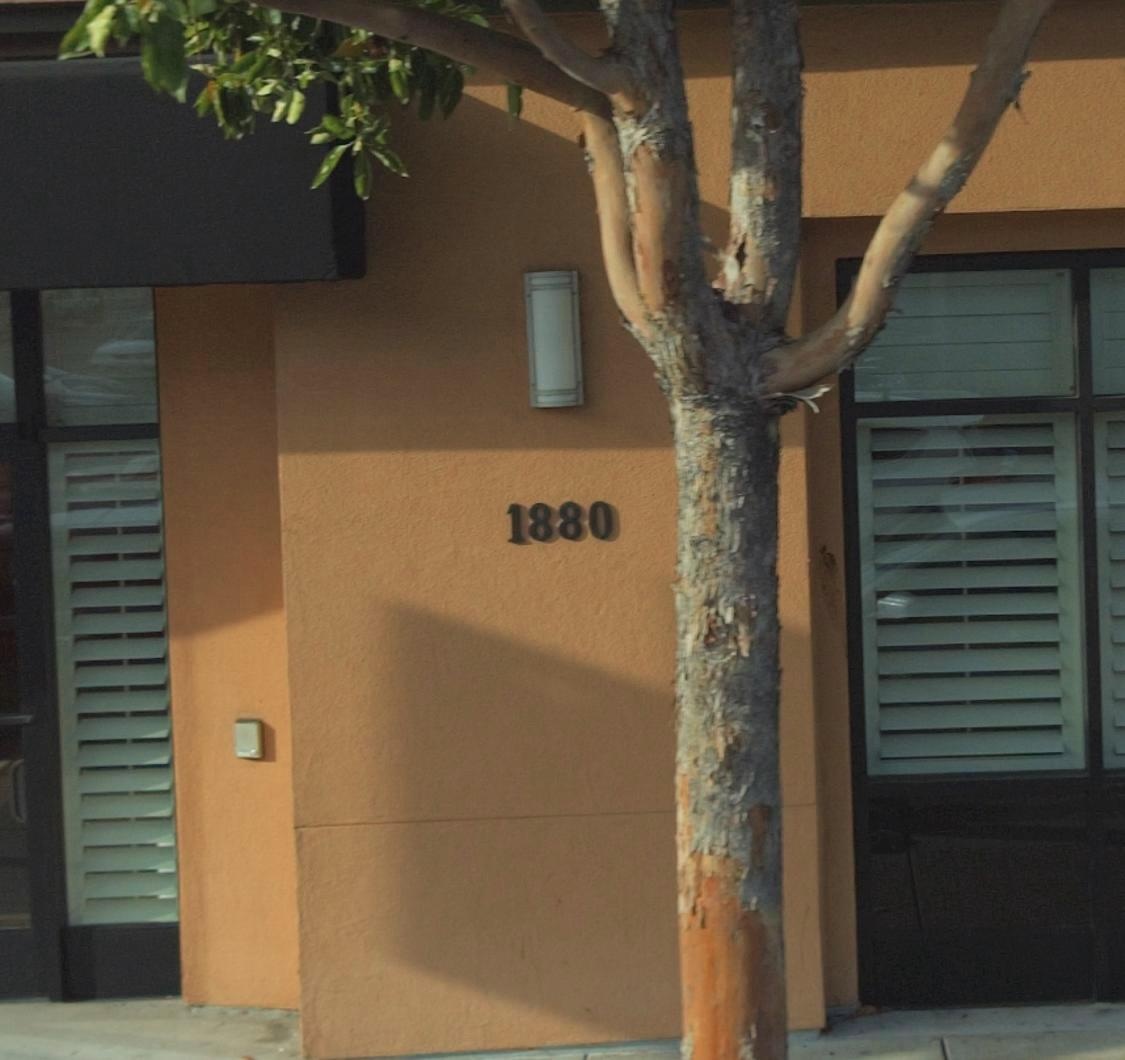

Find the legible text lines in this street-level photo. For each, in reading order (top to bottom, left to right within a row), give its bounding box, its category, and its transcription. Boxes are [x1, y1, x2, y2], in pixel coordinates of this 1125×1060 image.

[504, 498, 616, 545] StreetNumber: 1880